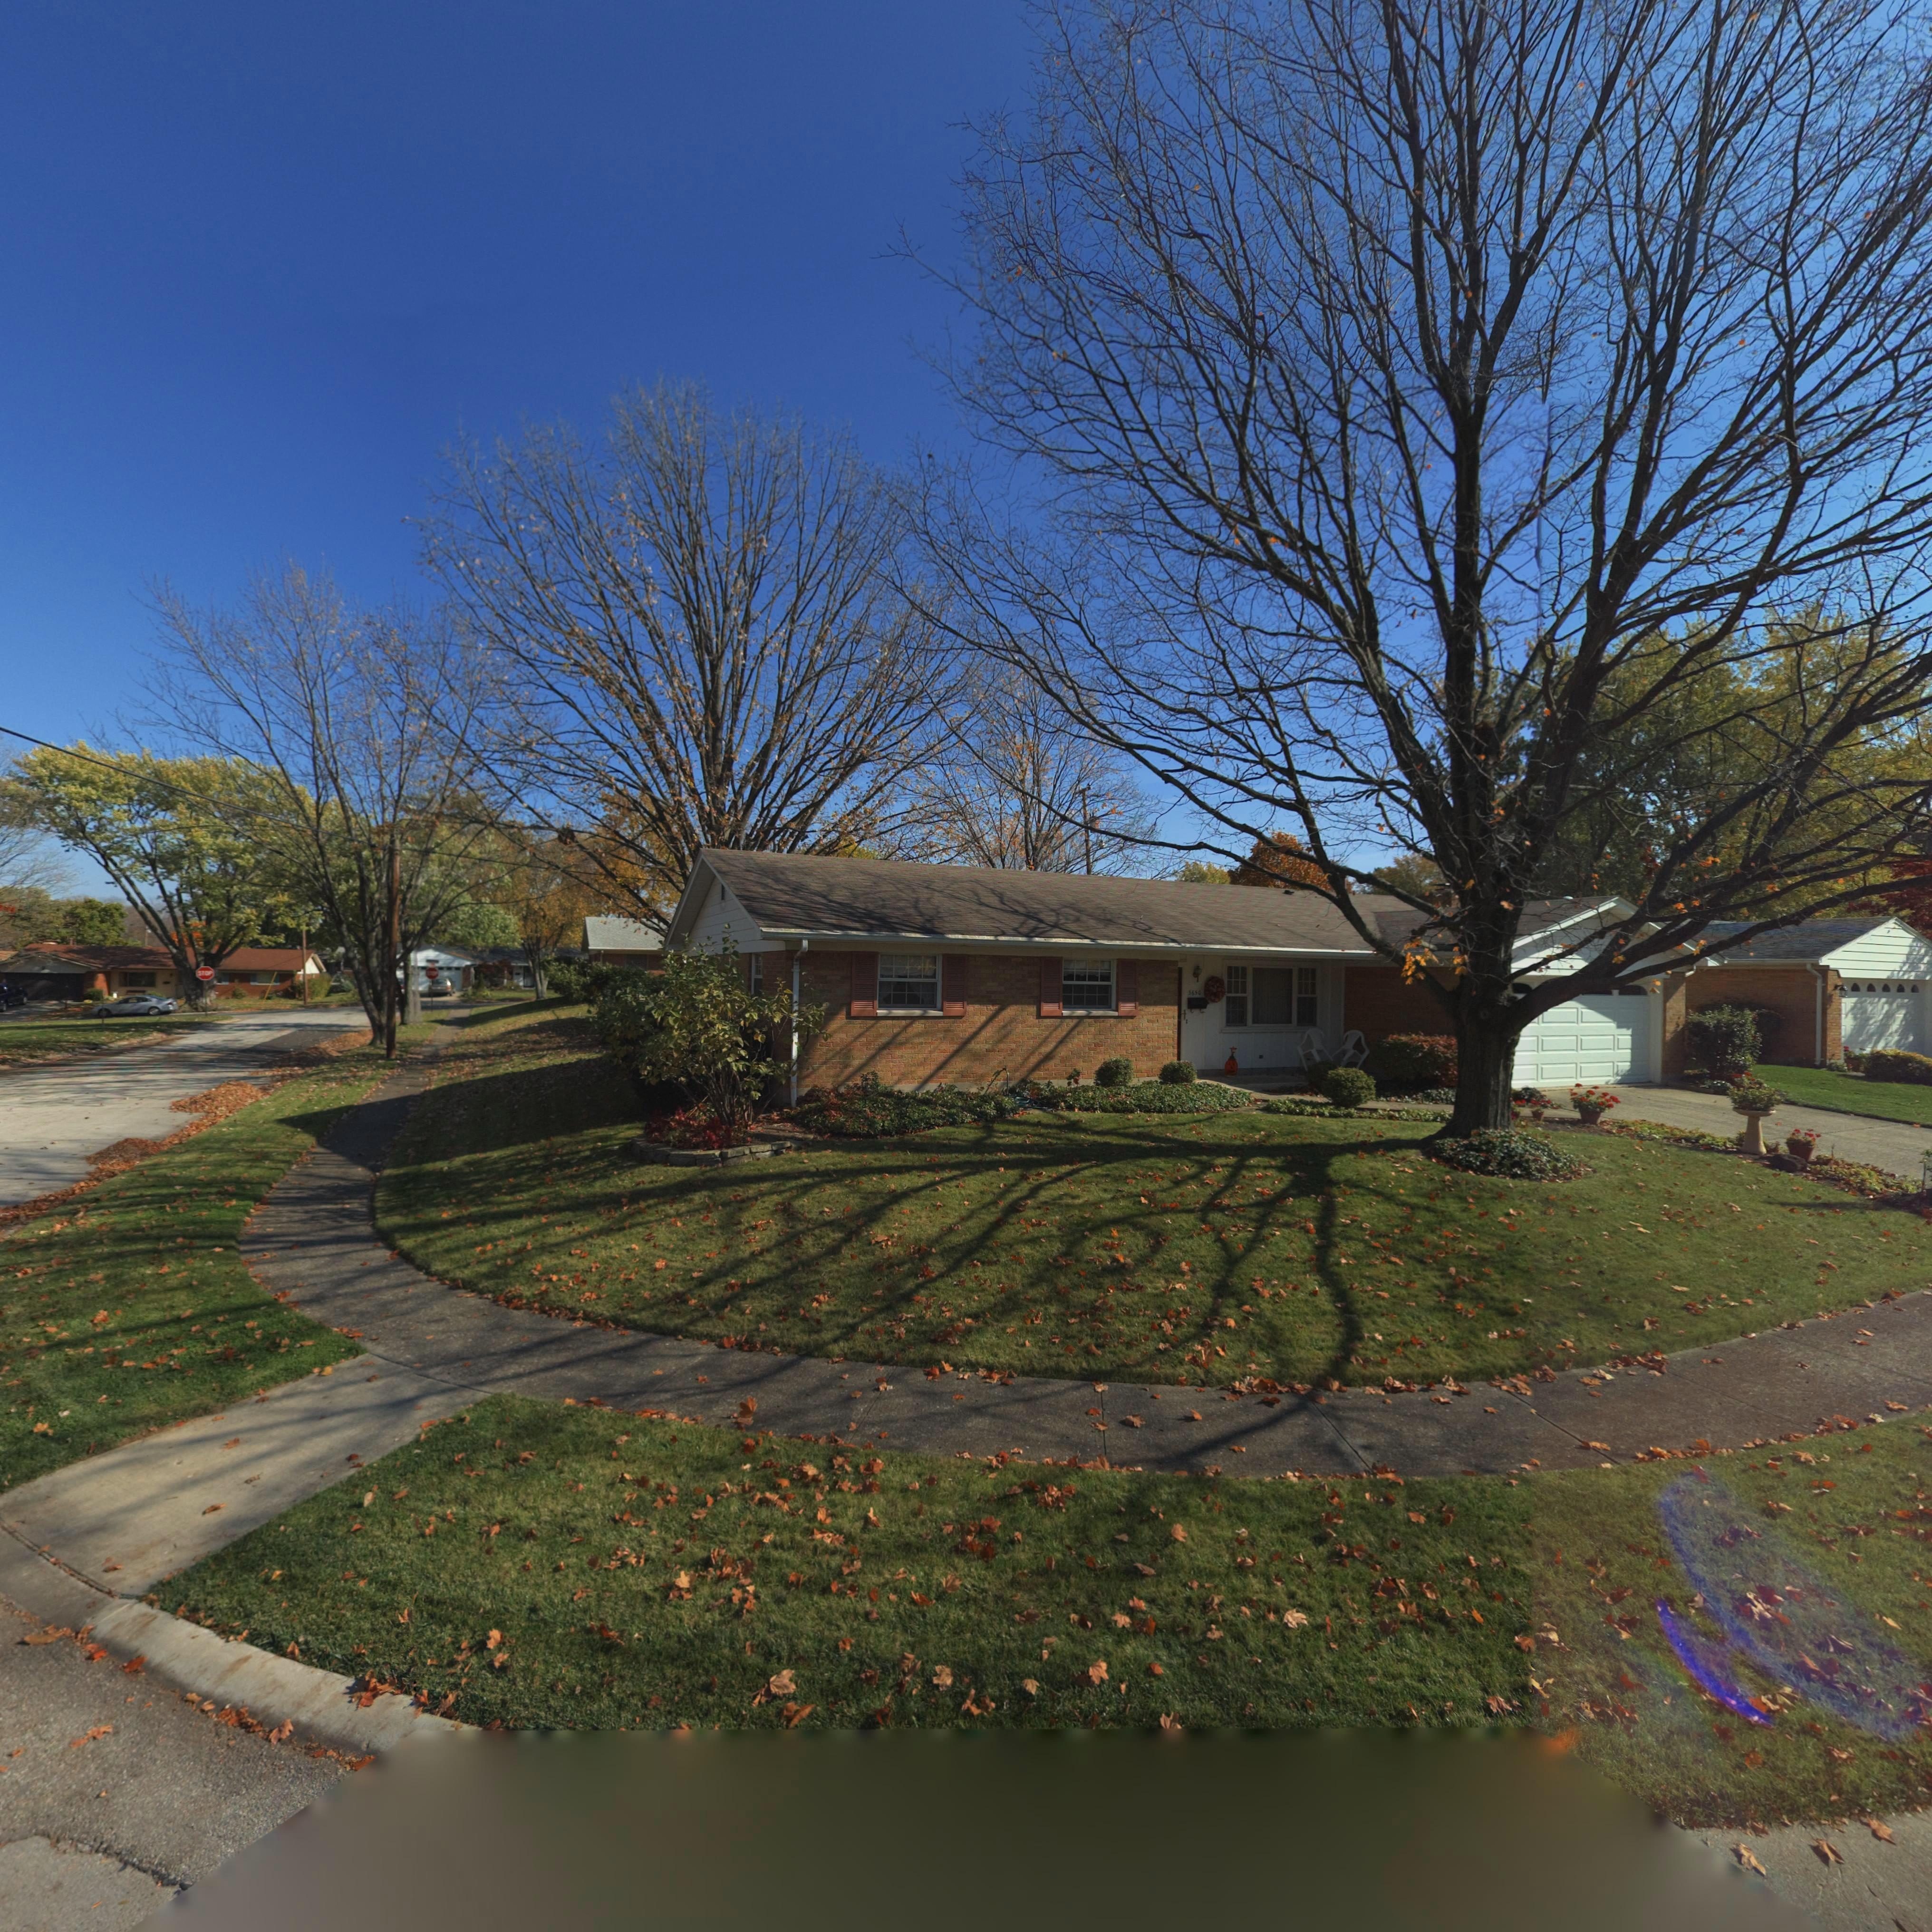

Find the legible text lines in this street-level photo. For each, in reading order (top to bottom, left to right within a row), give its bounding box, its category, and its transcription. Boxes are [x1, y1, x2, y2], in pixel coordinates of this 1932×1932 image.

[1188, 989, 1202, 996] StreetNumber: 3650